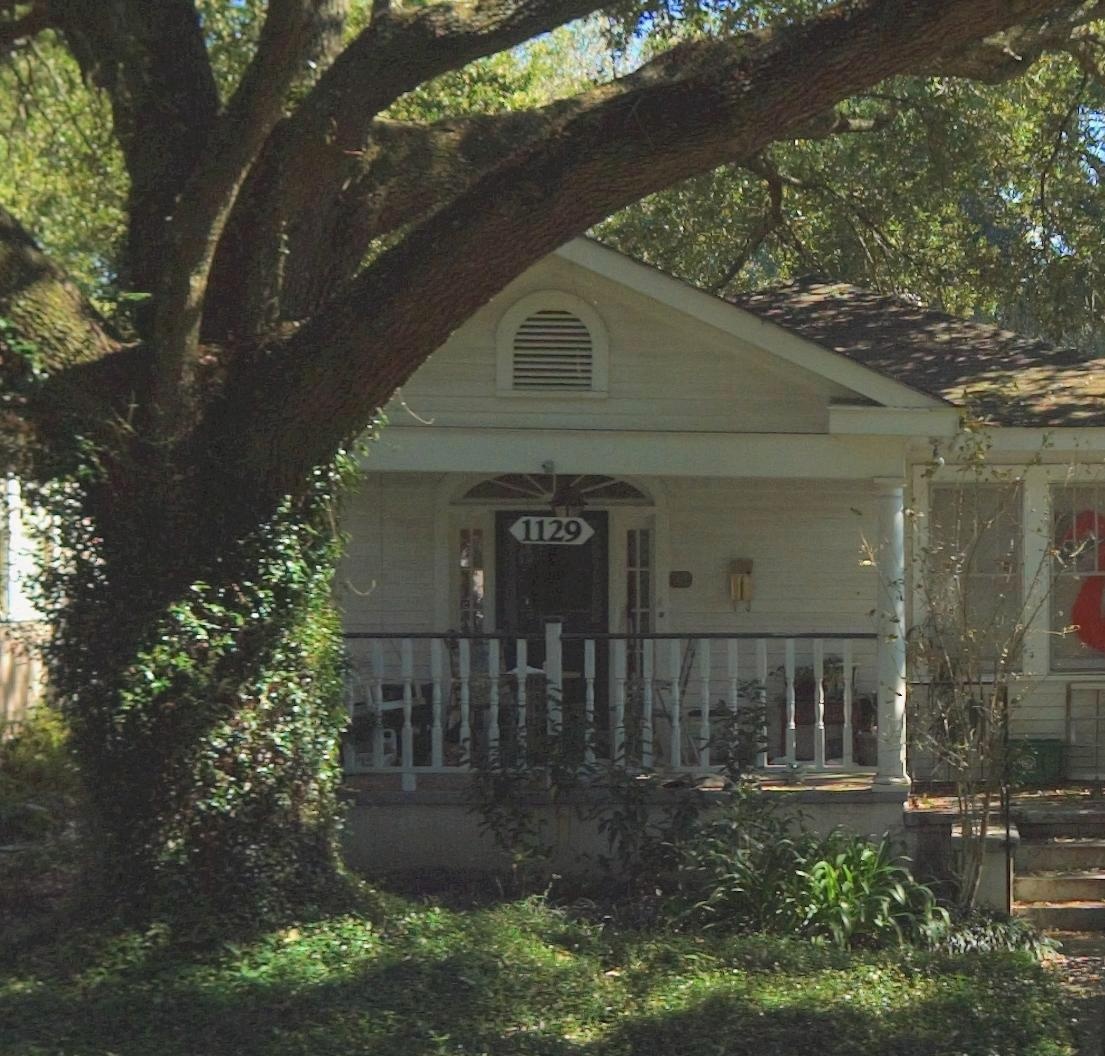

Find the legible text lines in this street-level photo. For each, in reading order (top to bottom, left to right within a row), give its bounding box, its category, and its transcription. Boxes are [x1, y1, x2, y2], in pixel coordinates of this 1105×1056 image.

[519, 517, 585, 544] StreetNumber: 1129